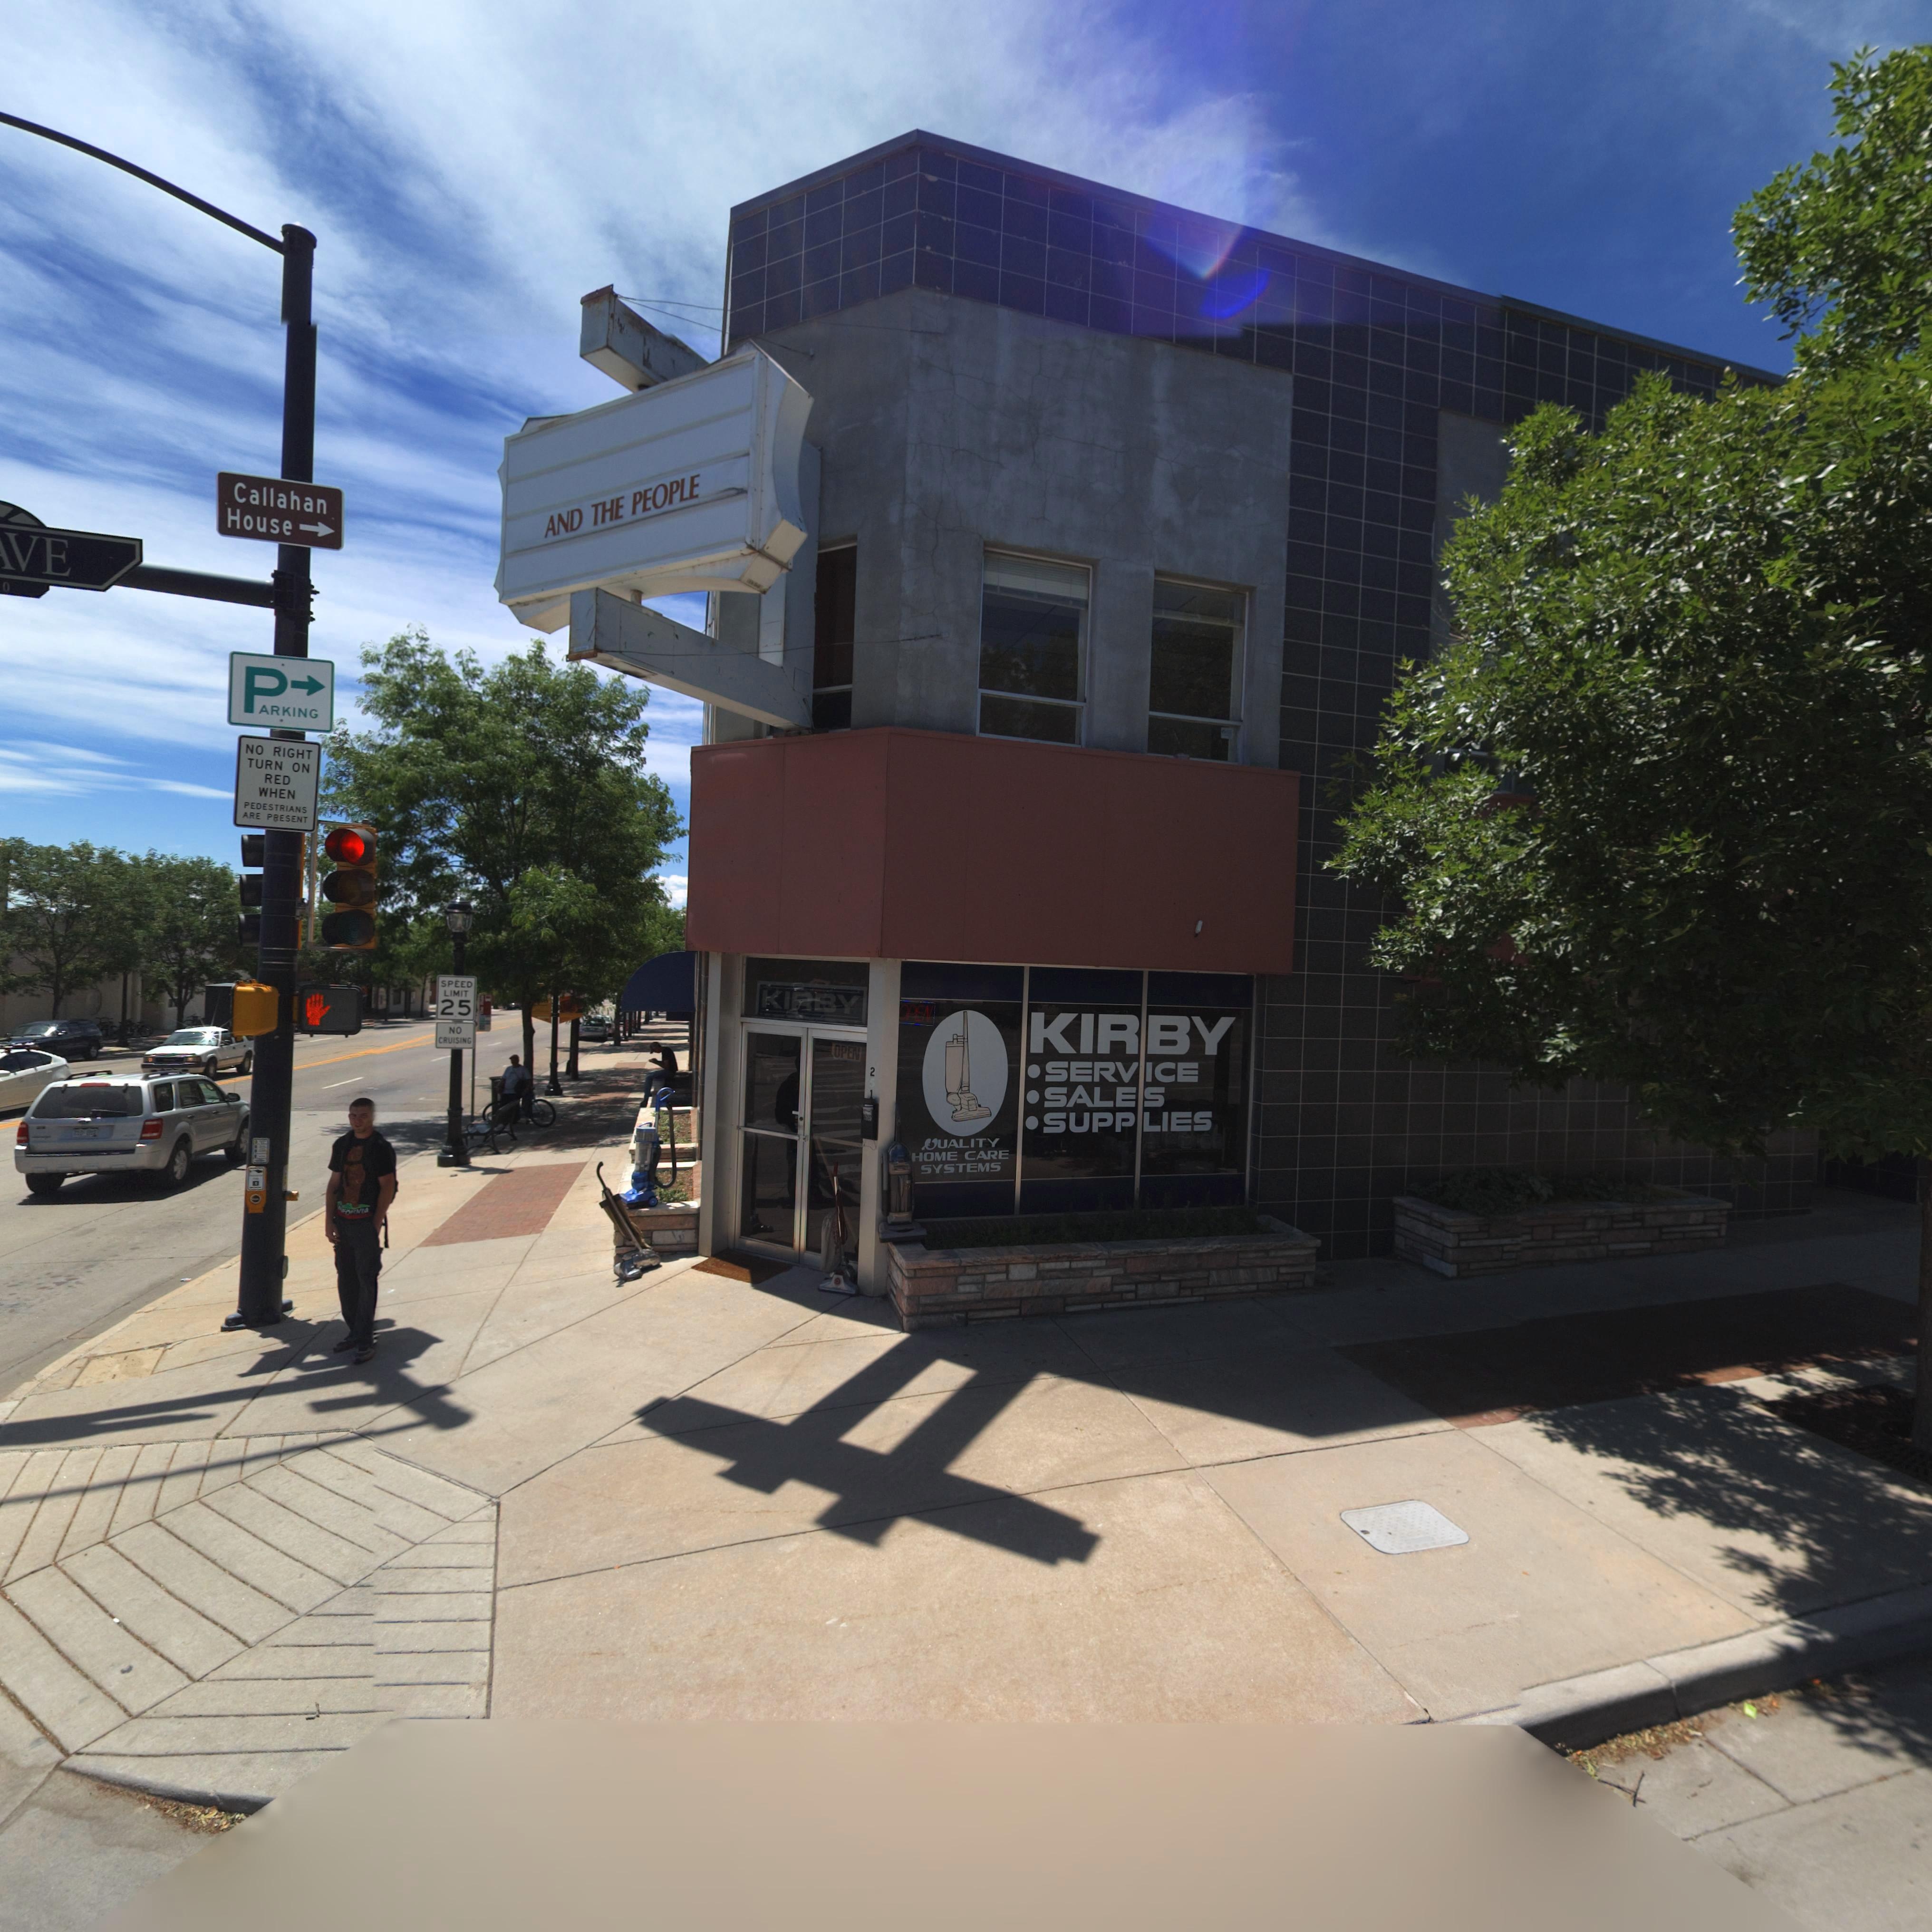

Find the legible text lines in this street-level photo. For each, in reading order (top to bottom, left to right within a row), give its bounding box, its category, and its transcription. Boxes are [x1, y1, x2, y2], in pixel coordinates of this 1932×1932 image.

[2, 531, 71, 578] StreetName: VE
[2, 581, 10, 594] StreetNumberRange: 0
[760, 988, 861, 1014] BusinessName: KIRBY
[1026, 1010, 1243, 1057] BusinessName: KIRBY
[869, 1065, 876, 1099] StreetNumber: 251